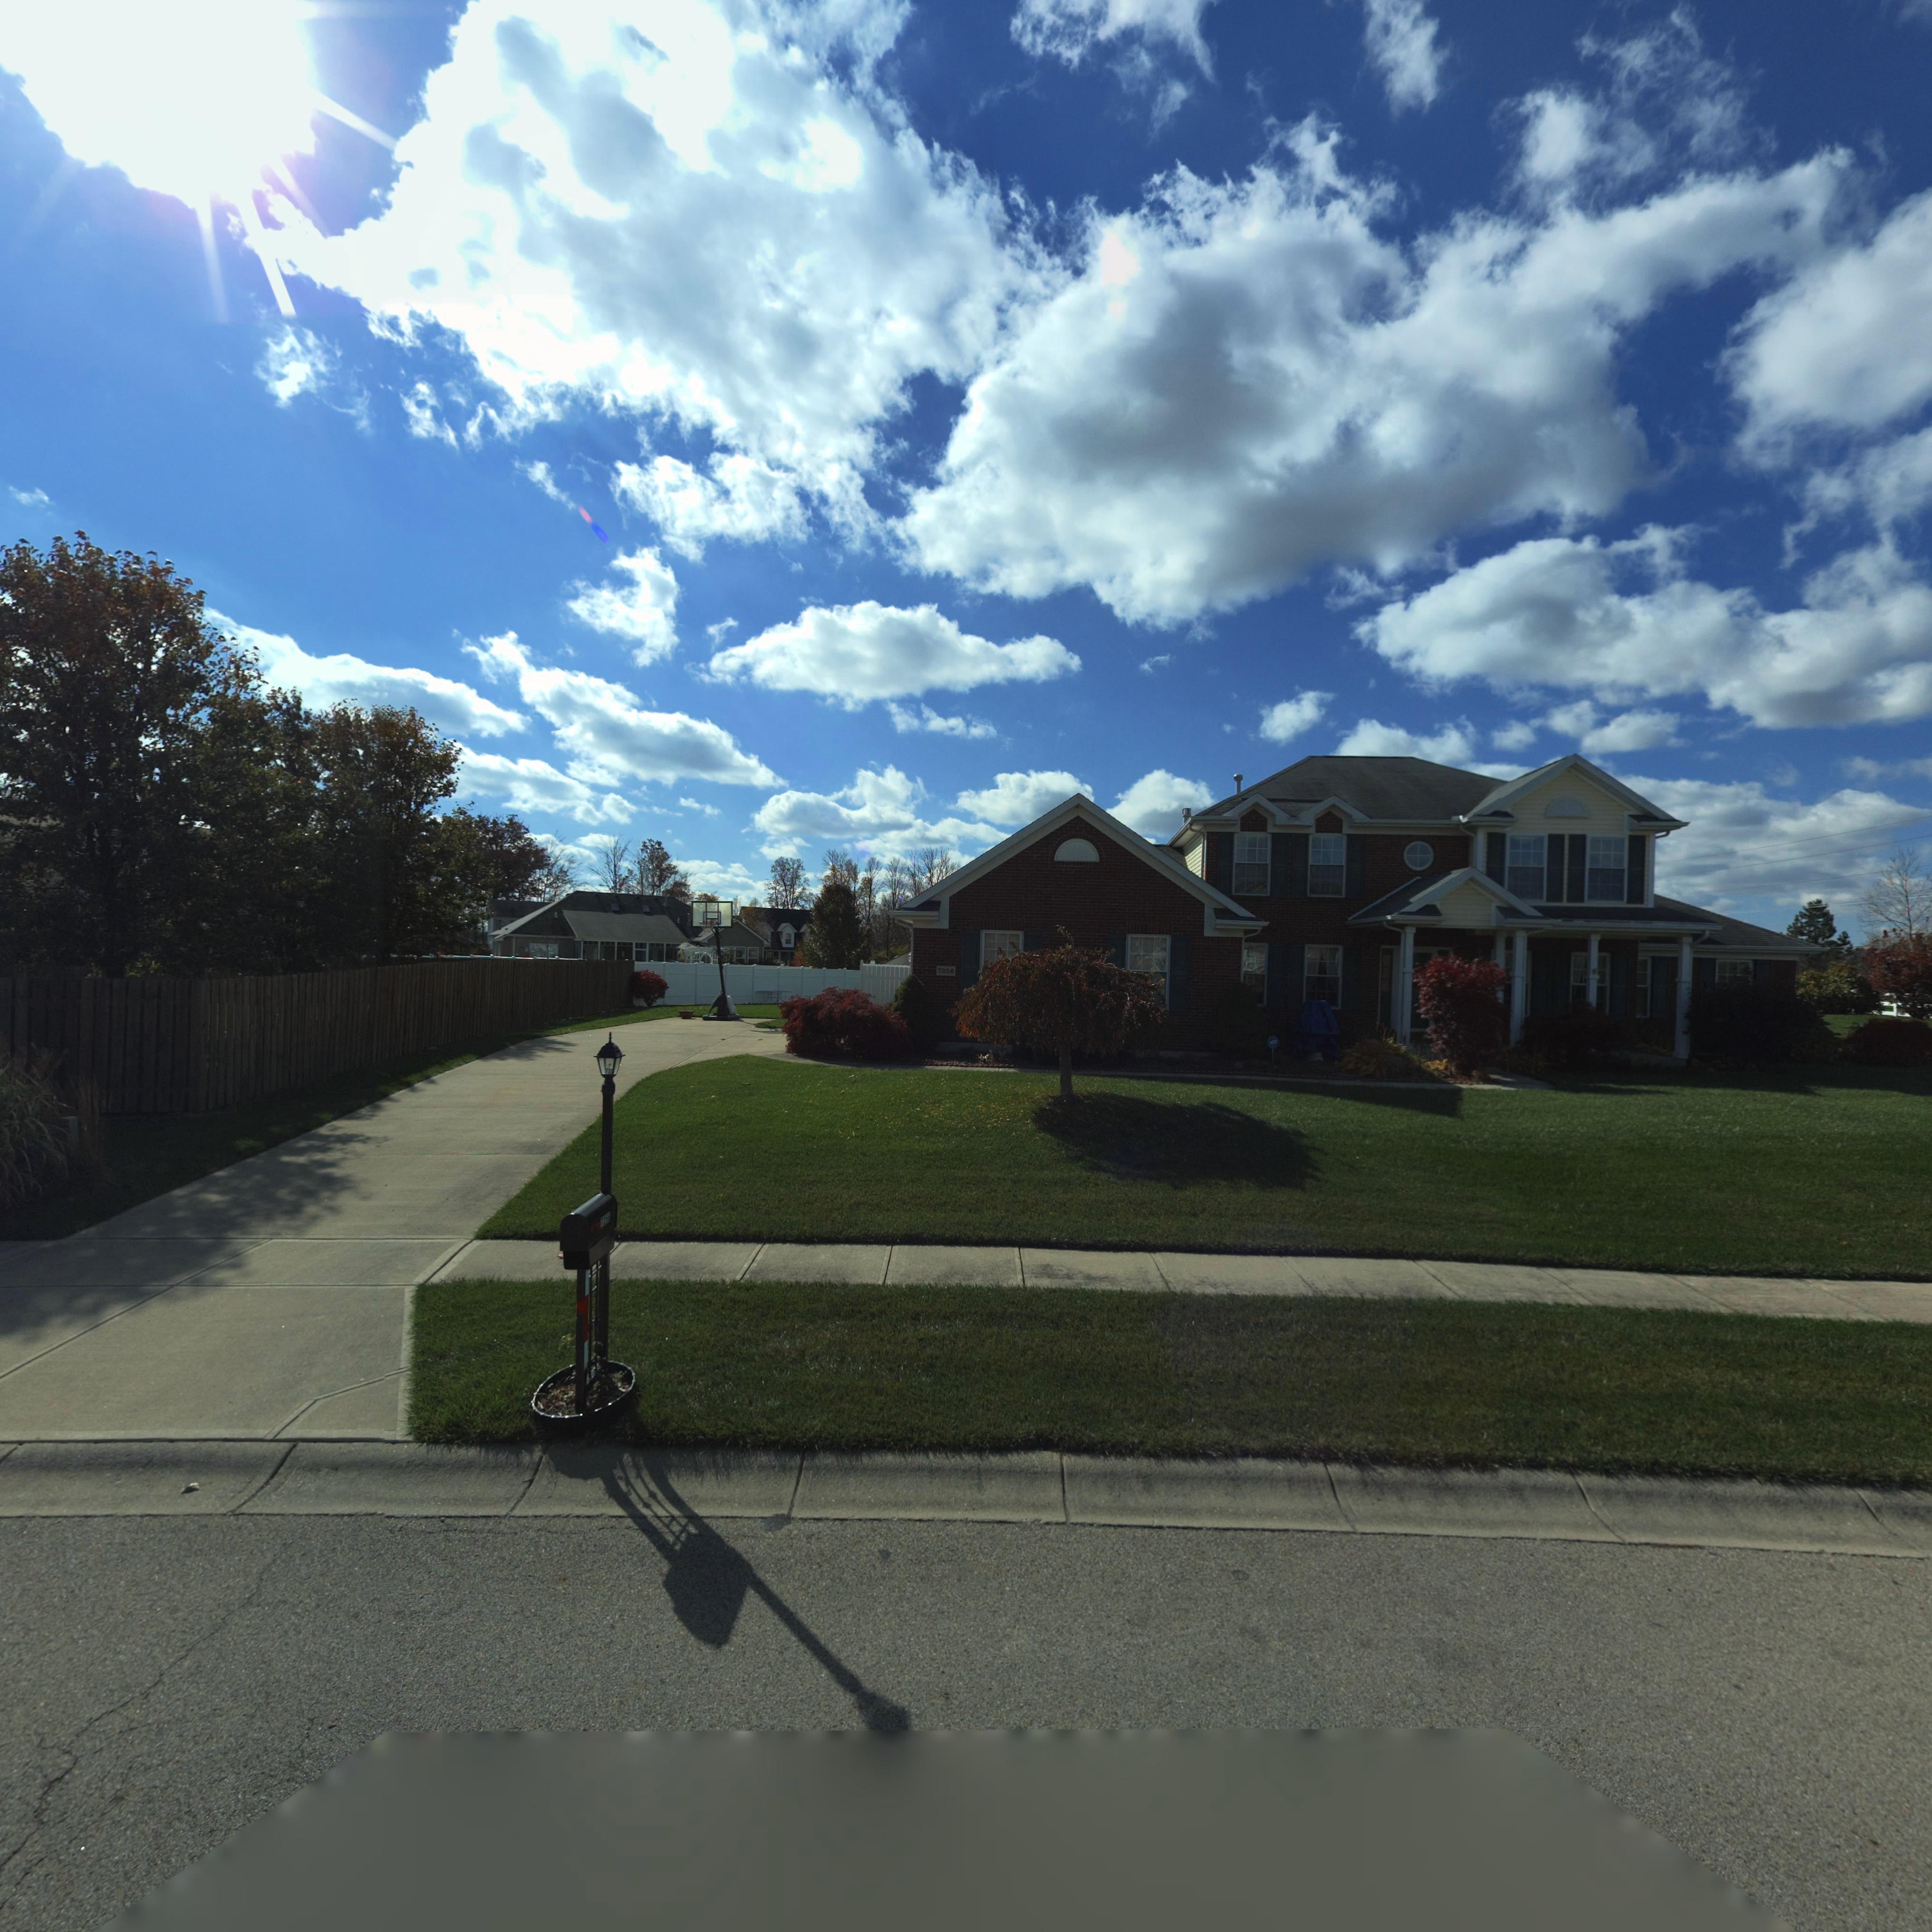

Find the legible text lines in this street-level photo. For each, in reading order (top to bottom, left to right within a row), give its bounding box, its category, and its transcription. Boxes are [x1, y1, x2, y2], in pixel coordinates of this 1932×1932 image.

[937, 967, 955, 974] StreetNumber: 7256
[600, 1210, 611, 1229] StreetNumber: 725*